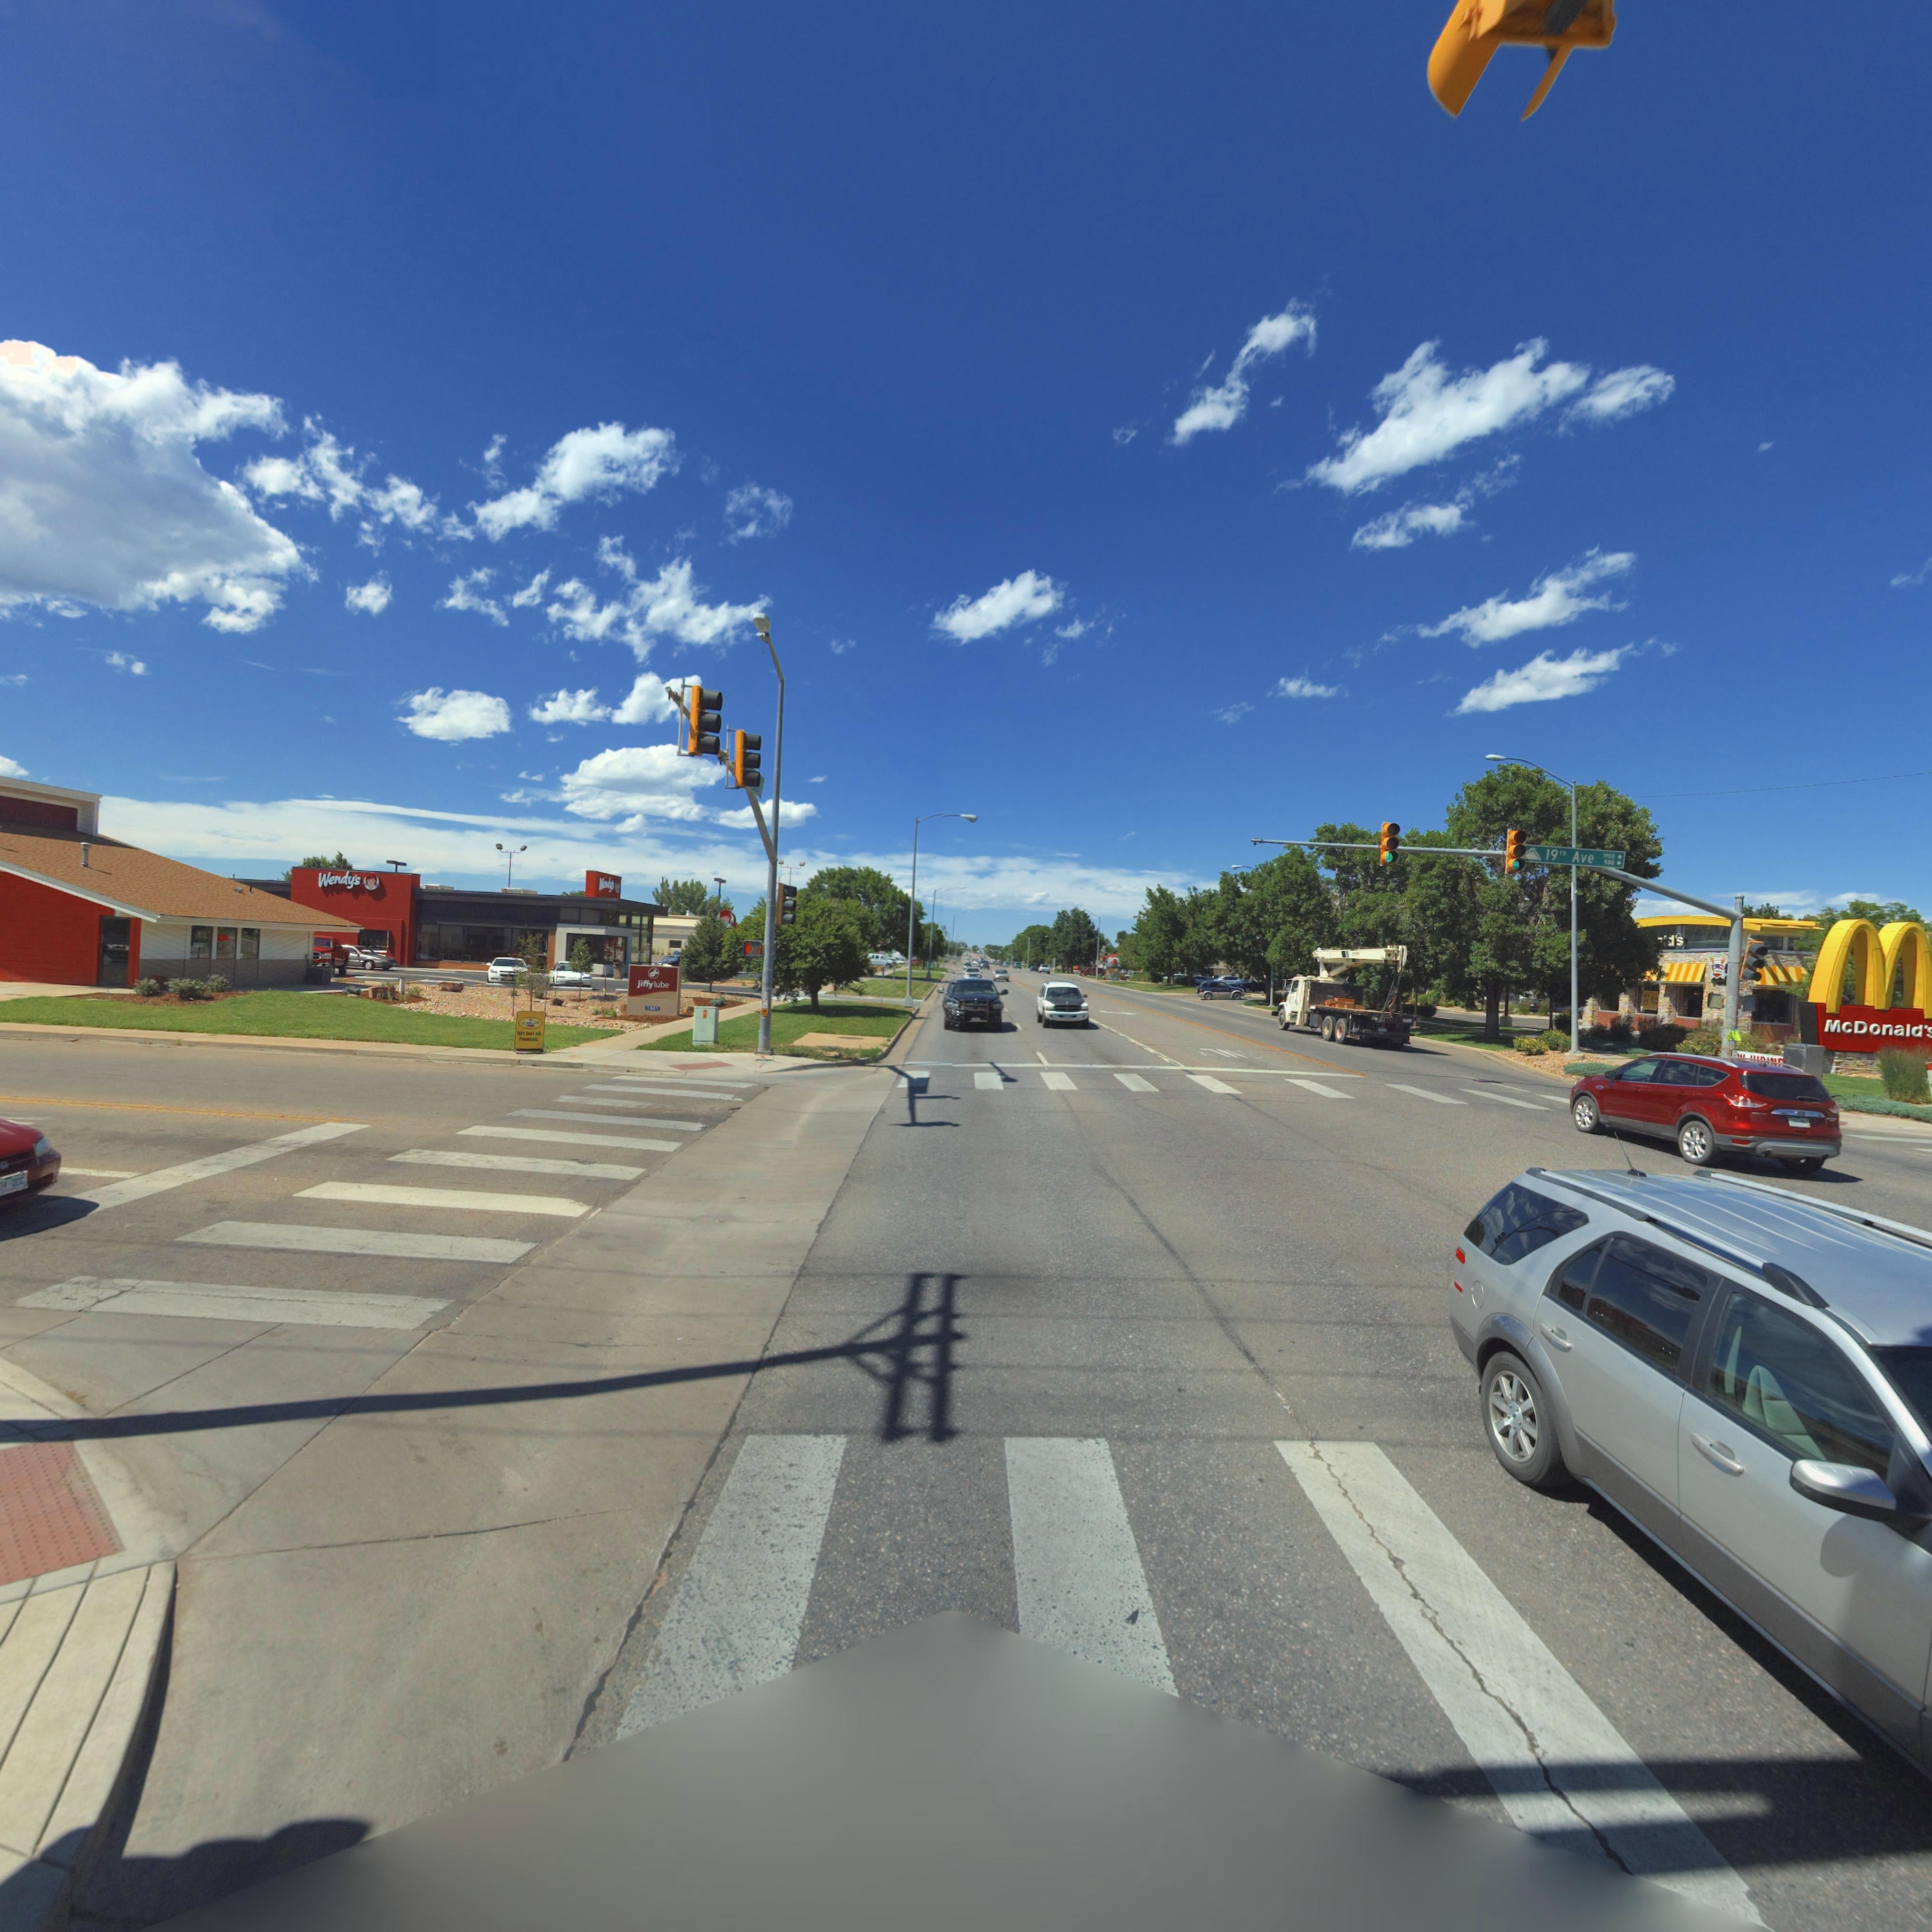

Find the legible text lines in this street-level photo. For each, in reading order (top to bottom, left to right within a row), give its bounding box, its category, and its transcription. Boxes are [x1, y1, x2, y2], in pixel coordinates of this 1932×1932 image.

[1545, 849, 1594, 864] StreetName: 19th Ave
[1602, 852, 1616, 859] StreetNumberRange: 1900
[1604, 859, 1622, 866] StreetNumberRange: *00 ->
[318, 870, 361, 890] BusinessName: Wendy's
[599, 876, 615, 893] BusinessName: W***y's
[1666, 933, 1684, 947] BusinessName: d's
[636, 979, 670, 990] BusinessName: jiffy lube
[647, 1006, 658, 1010] StreetNumber: 1*0*
[1823, 1018, 1928, 1038] BusinessName: McDonald'